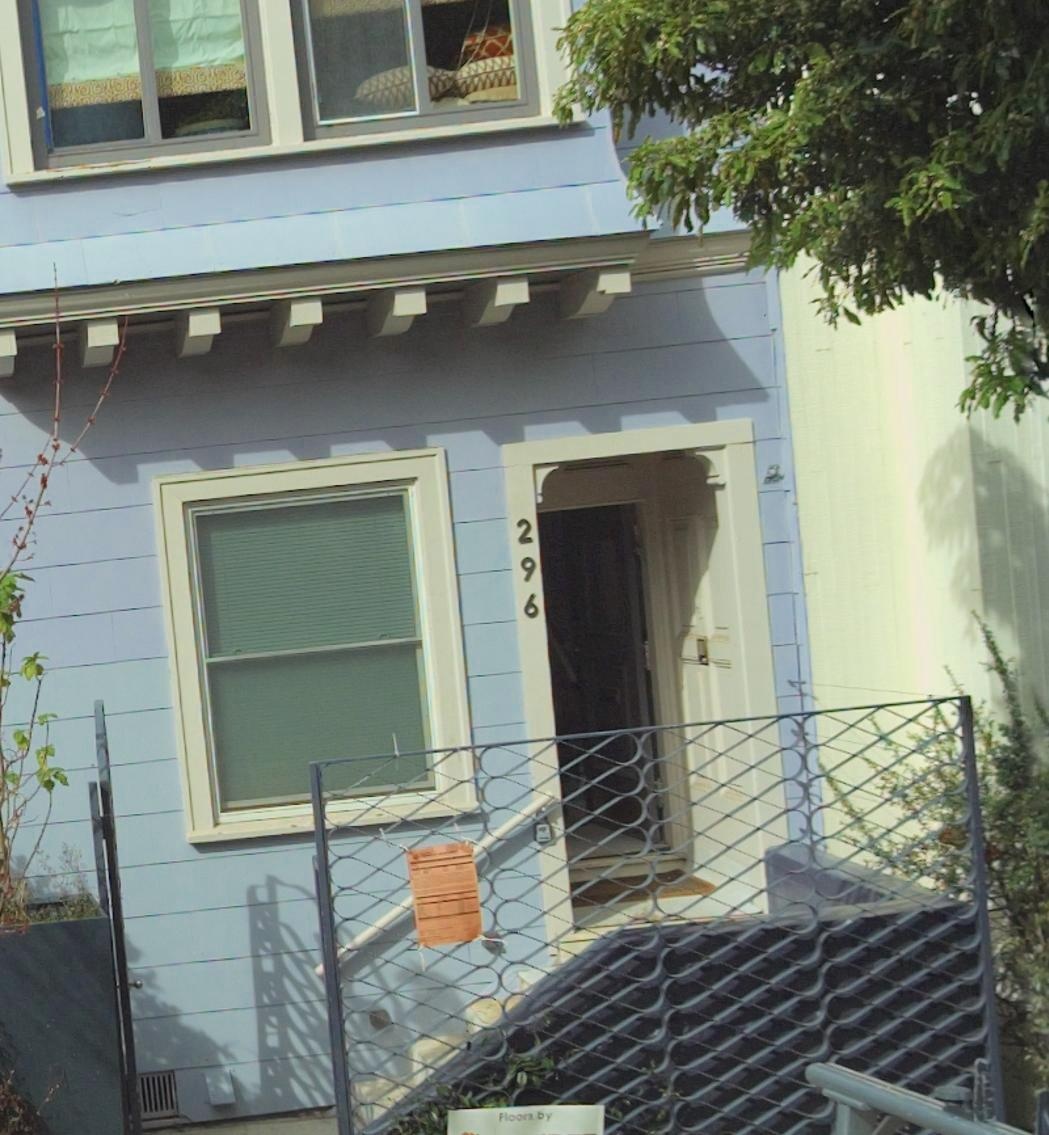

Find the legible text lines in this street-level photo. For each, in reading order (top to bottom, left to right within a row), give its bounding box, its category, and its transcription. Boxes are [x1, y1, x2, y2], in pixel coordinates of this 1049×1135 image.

[516, 518, 540, 620] StreetNumber: 296